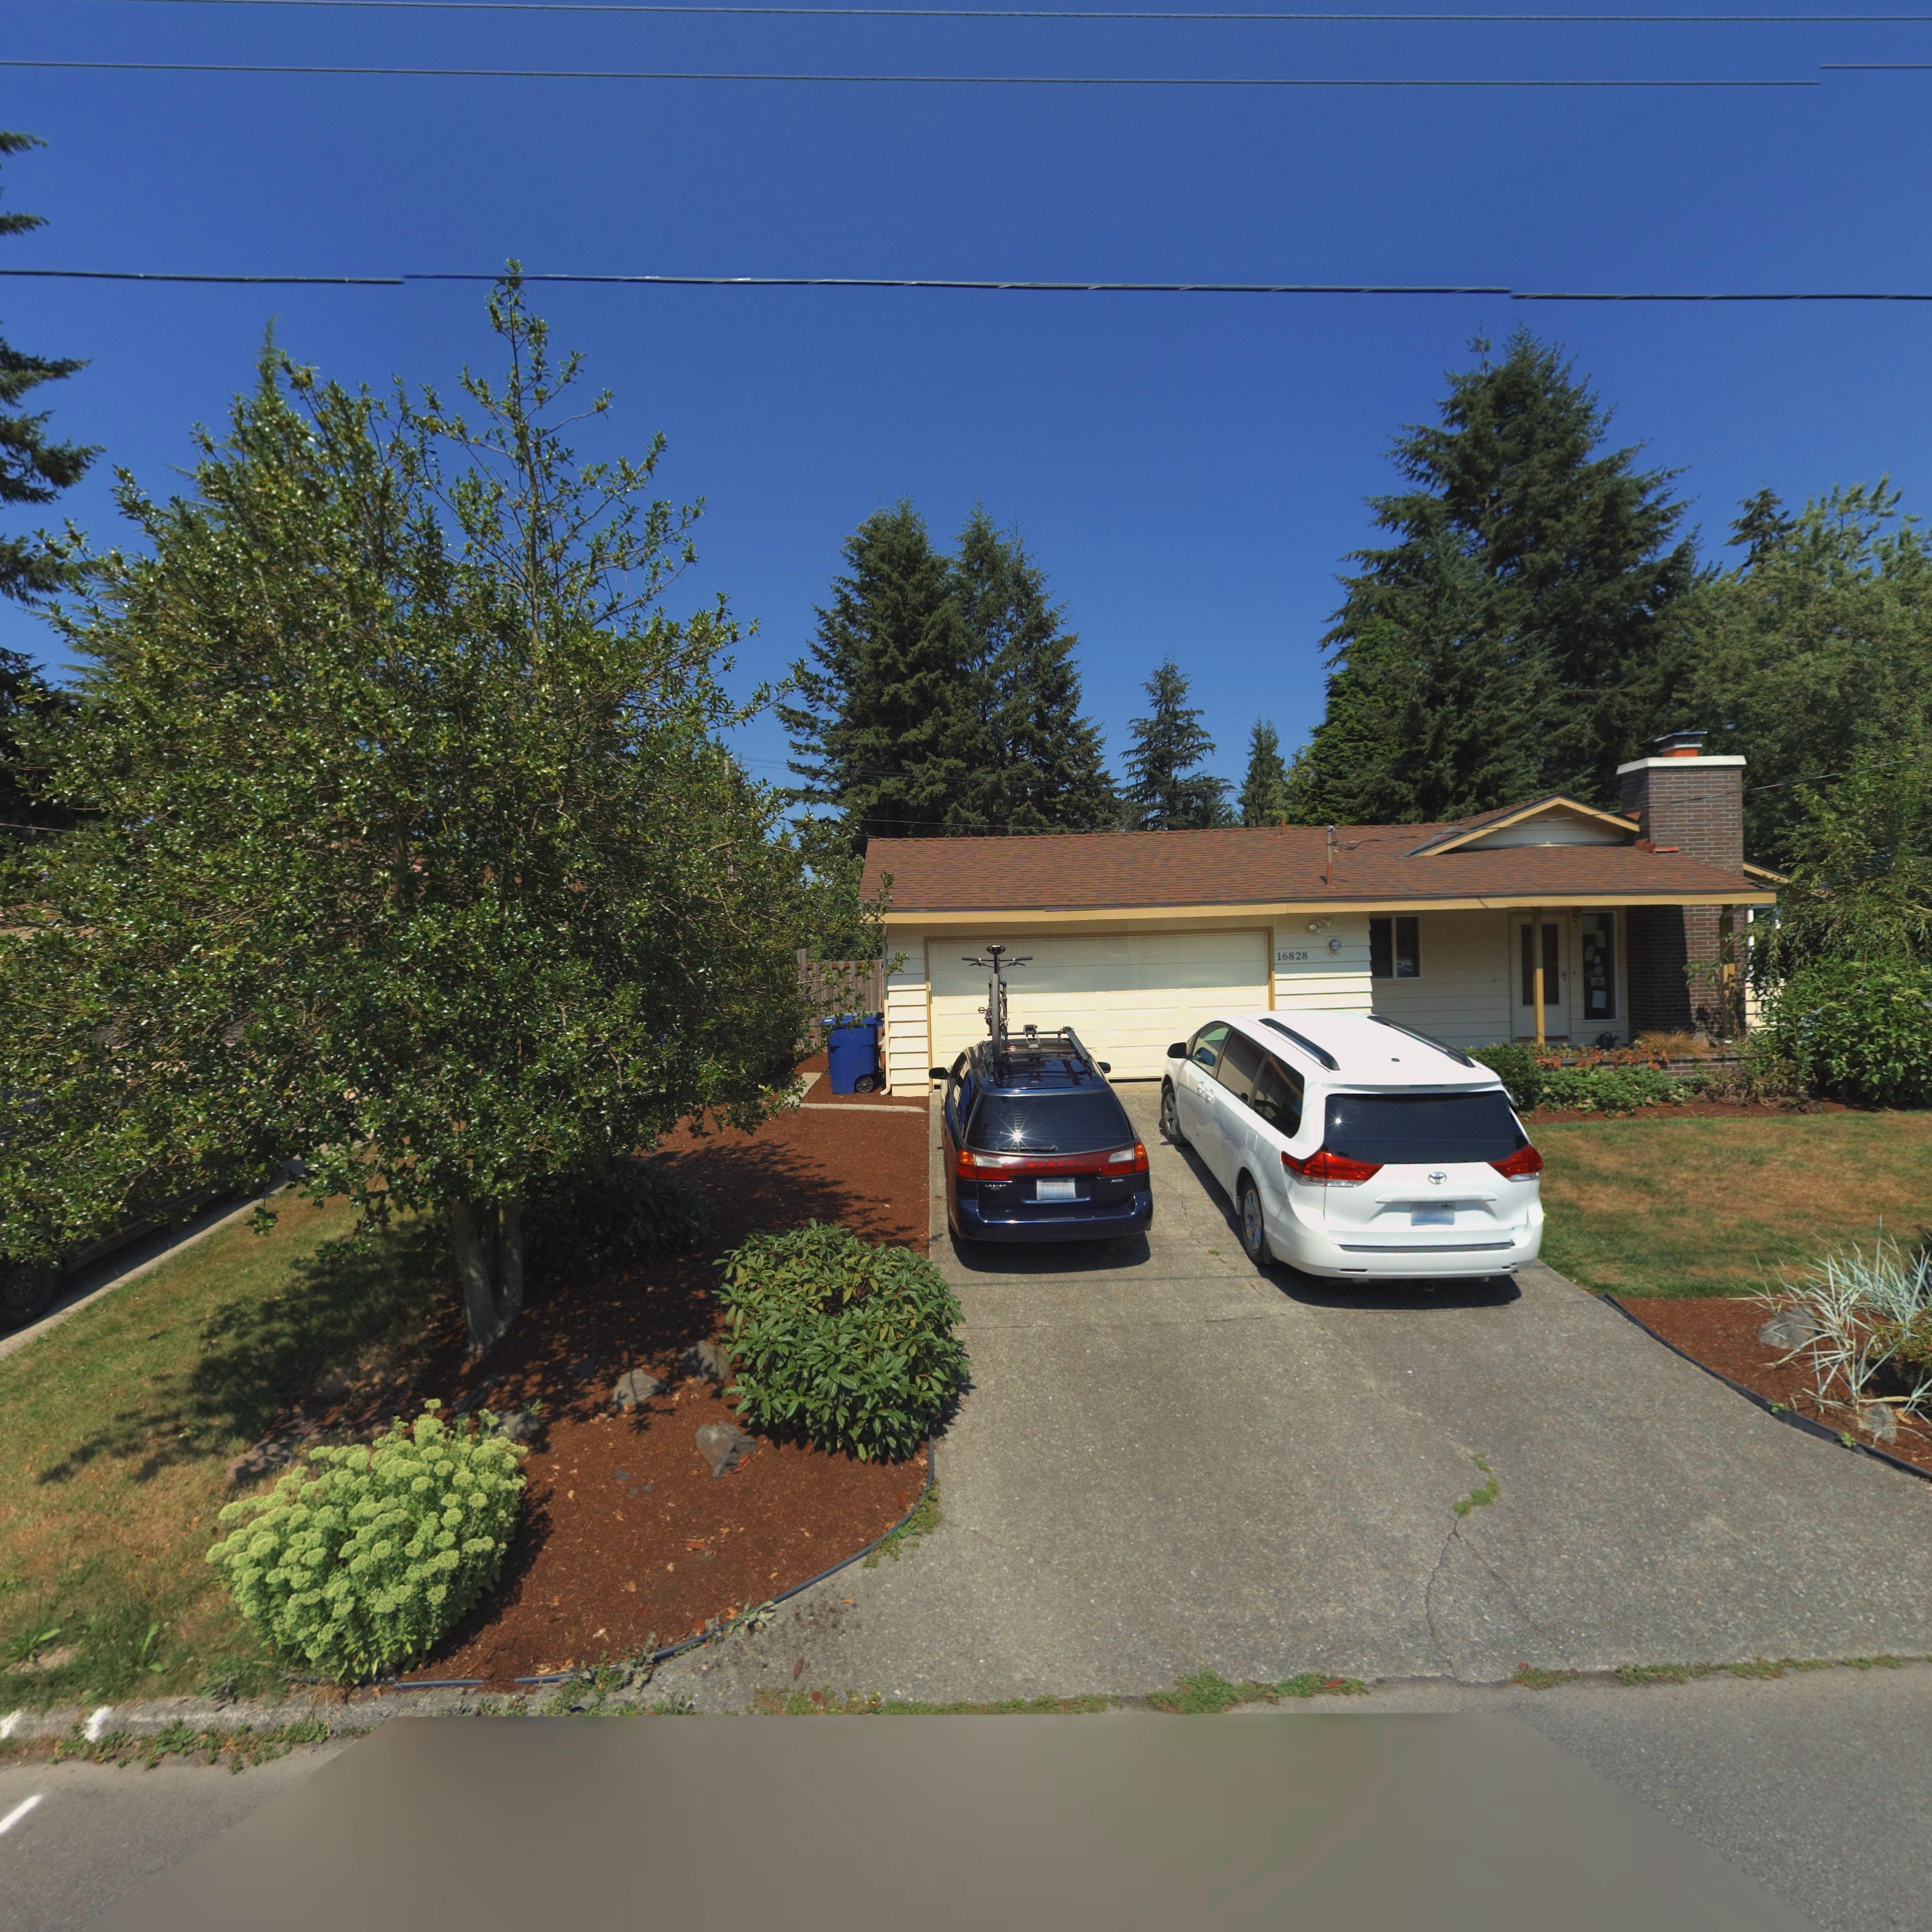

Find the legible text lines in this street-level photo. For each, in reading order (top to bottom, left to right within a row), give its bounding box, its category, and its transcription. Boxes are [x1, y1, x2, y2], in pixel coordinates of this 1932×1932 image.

[1276, 949, 1307, 962] StreetNumber: 16828